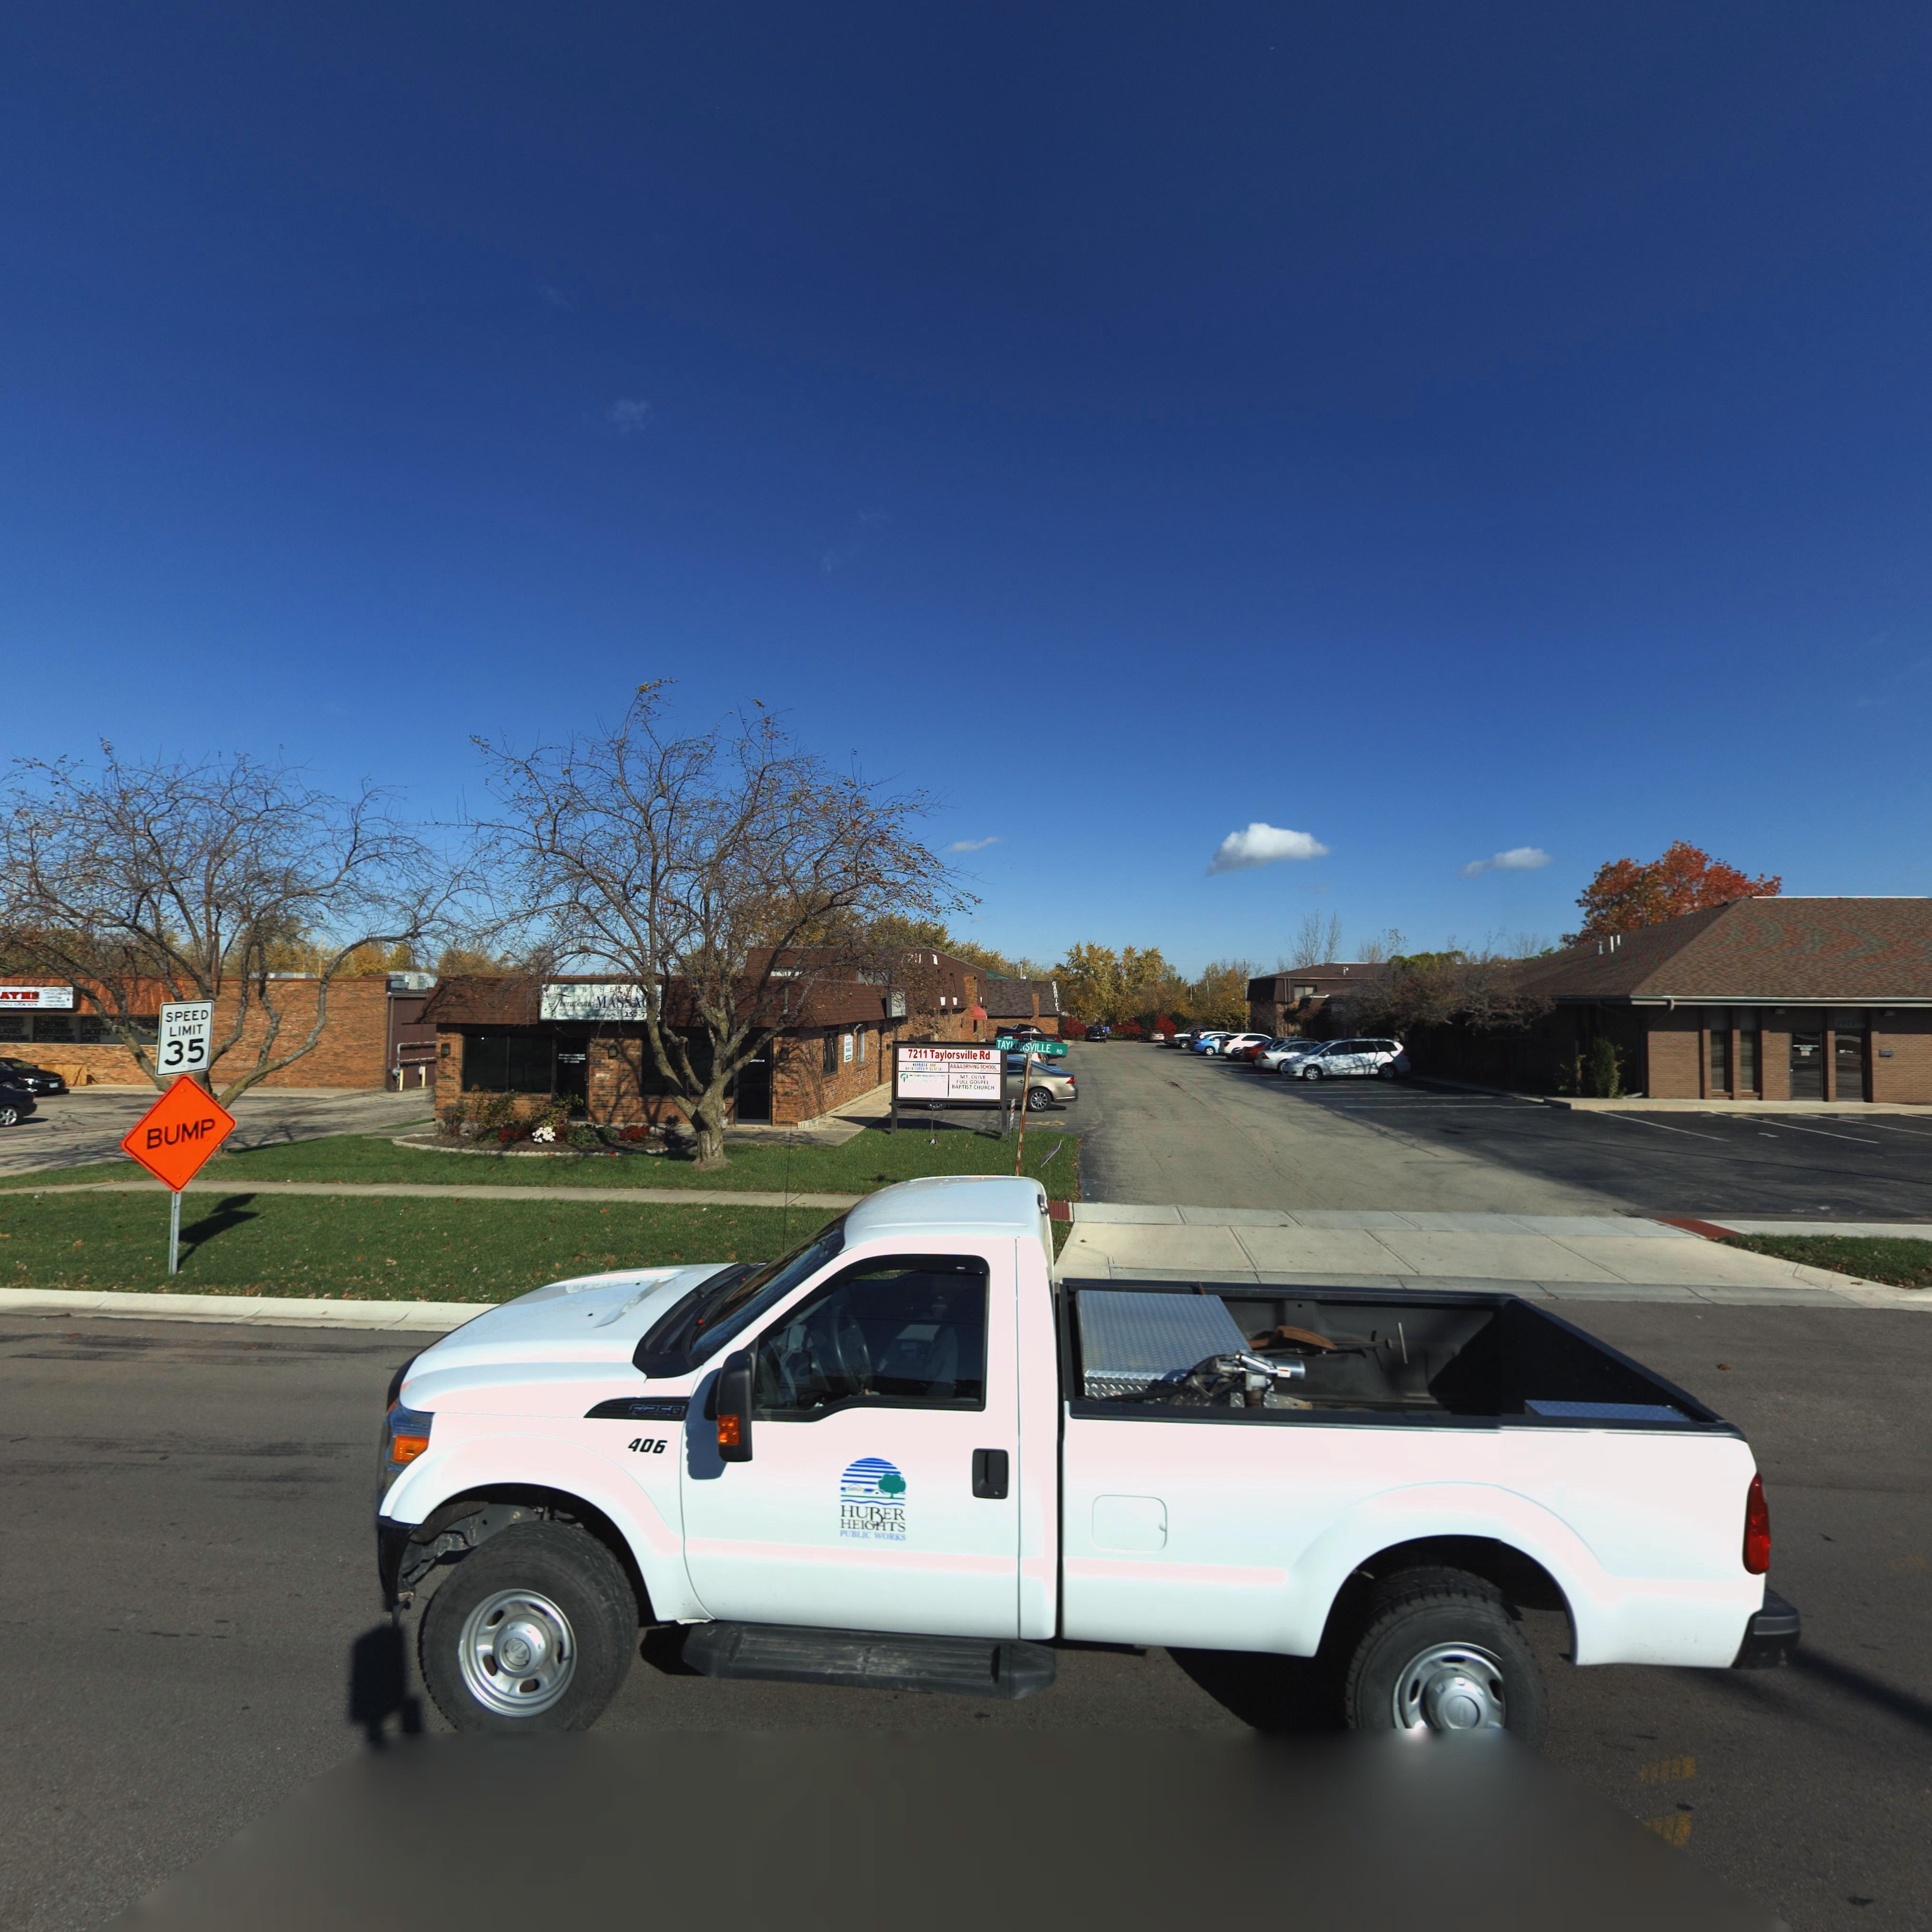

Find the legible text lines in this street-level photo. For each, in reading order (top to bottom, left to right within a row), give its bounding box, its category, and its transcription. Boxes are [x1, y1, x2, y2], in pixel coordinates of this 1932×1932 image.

[918, 953, 922, 965] StreetNumber: 1
[553, 986, 614, 993] BusinessName: UBER HE
[0, 991, 20, 1000] BusinessName: AY
[1051, 981, 1061, 1012] BusinessName: GABRIEL
[553, 993, 643, 1009] BusinessName: Therapeutic MASSA
[1835, 1020, 1857, 1027] StreetNumber: 72*7
[996, 1039, 1063, 1055] StreetName: TAYLORSVILLE RD
[908, 1049, 927, 1059] StreetNumber: 7211
[929, 1049, 991, 1062] StreetName: Taylorsville Rd
[949, 1063, 997, 1070] BusinessName: AAAA DRIVING SCHOOL
[959, 1074, 986, 1080] BusinessName: MT OLIVE
[956, 1079, 990, 1085] BusinessName: FULL GOSPEL
[951, 1084, 995, 1090] BusinessName: BAPTIST CHURCH